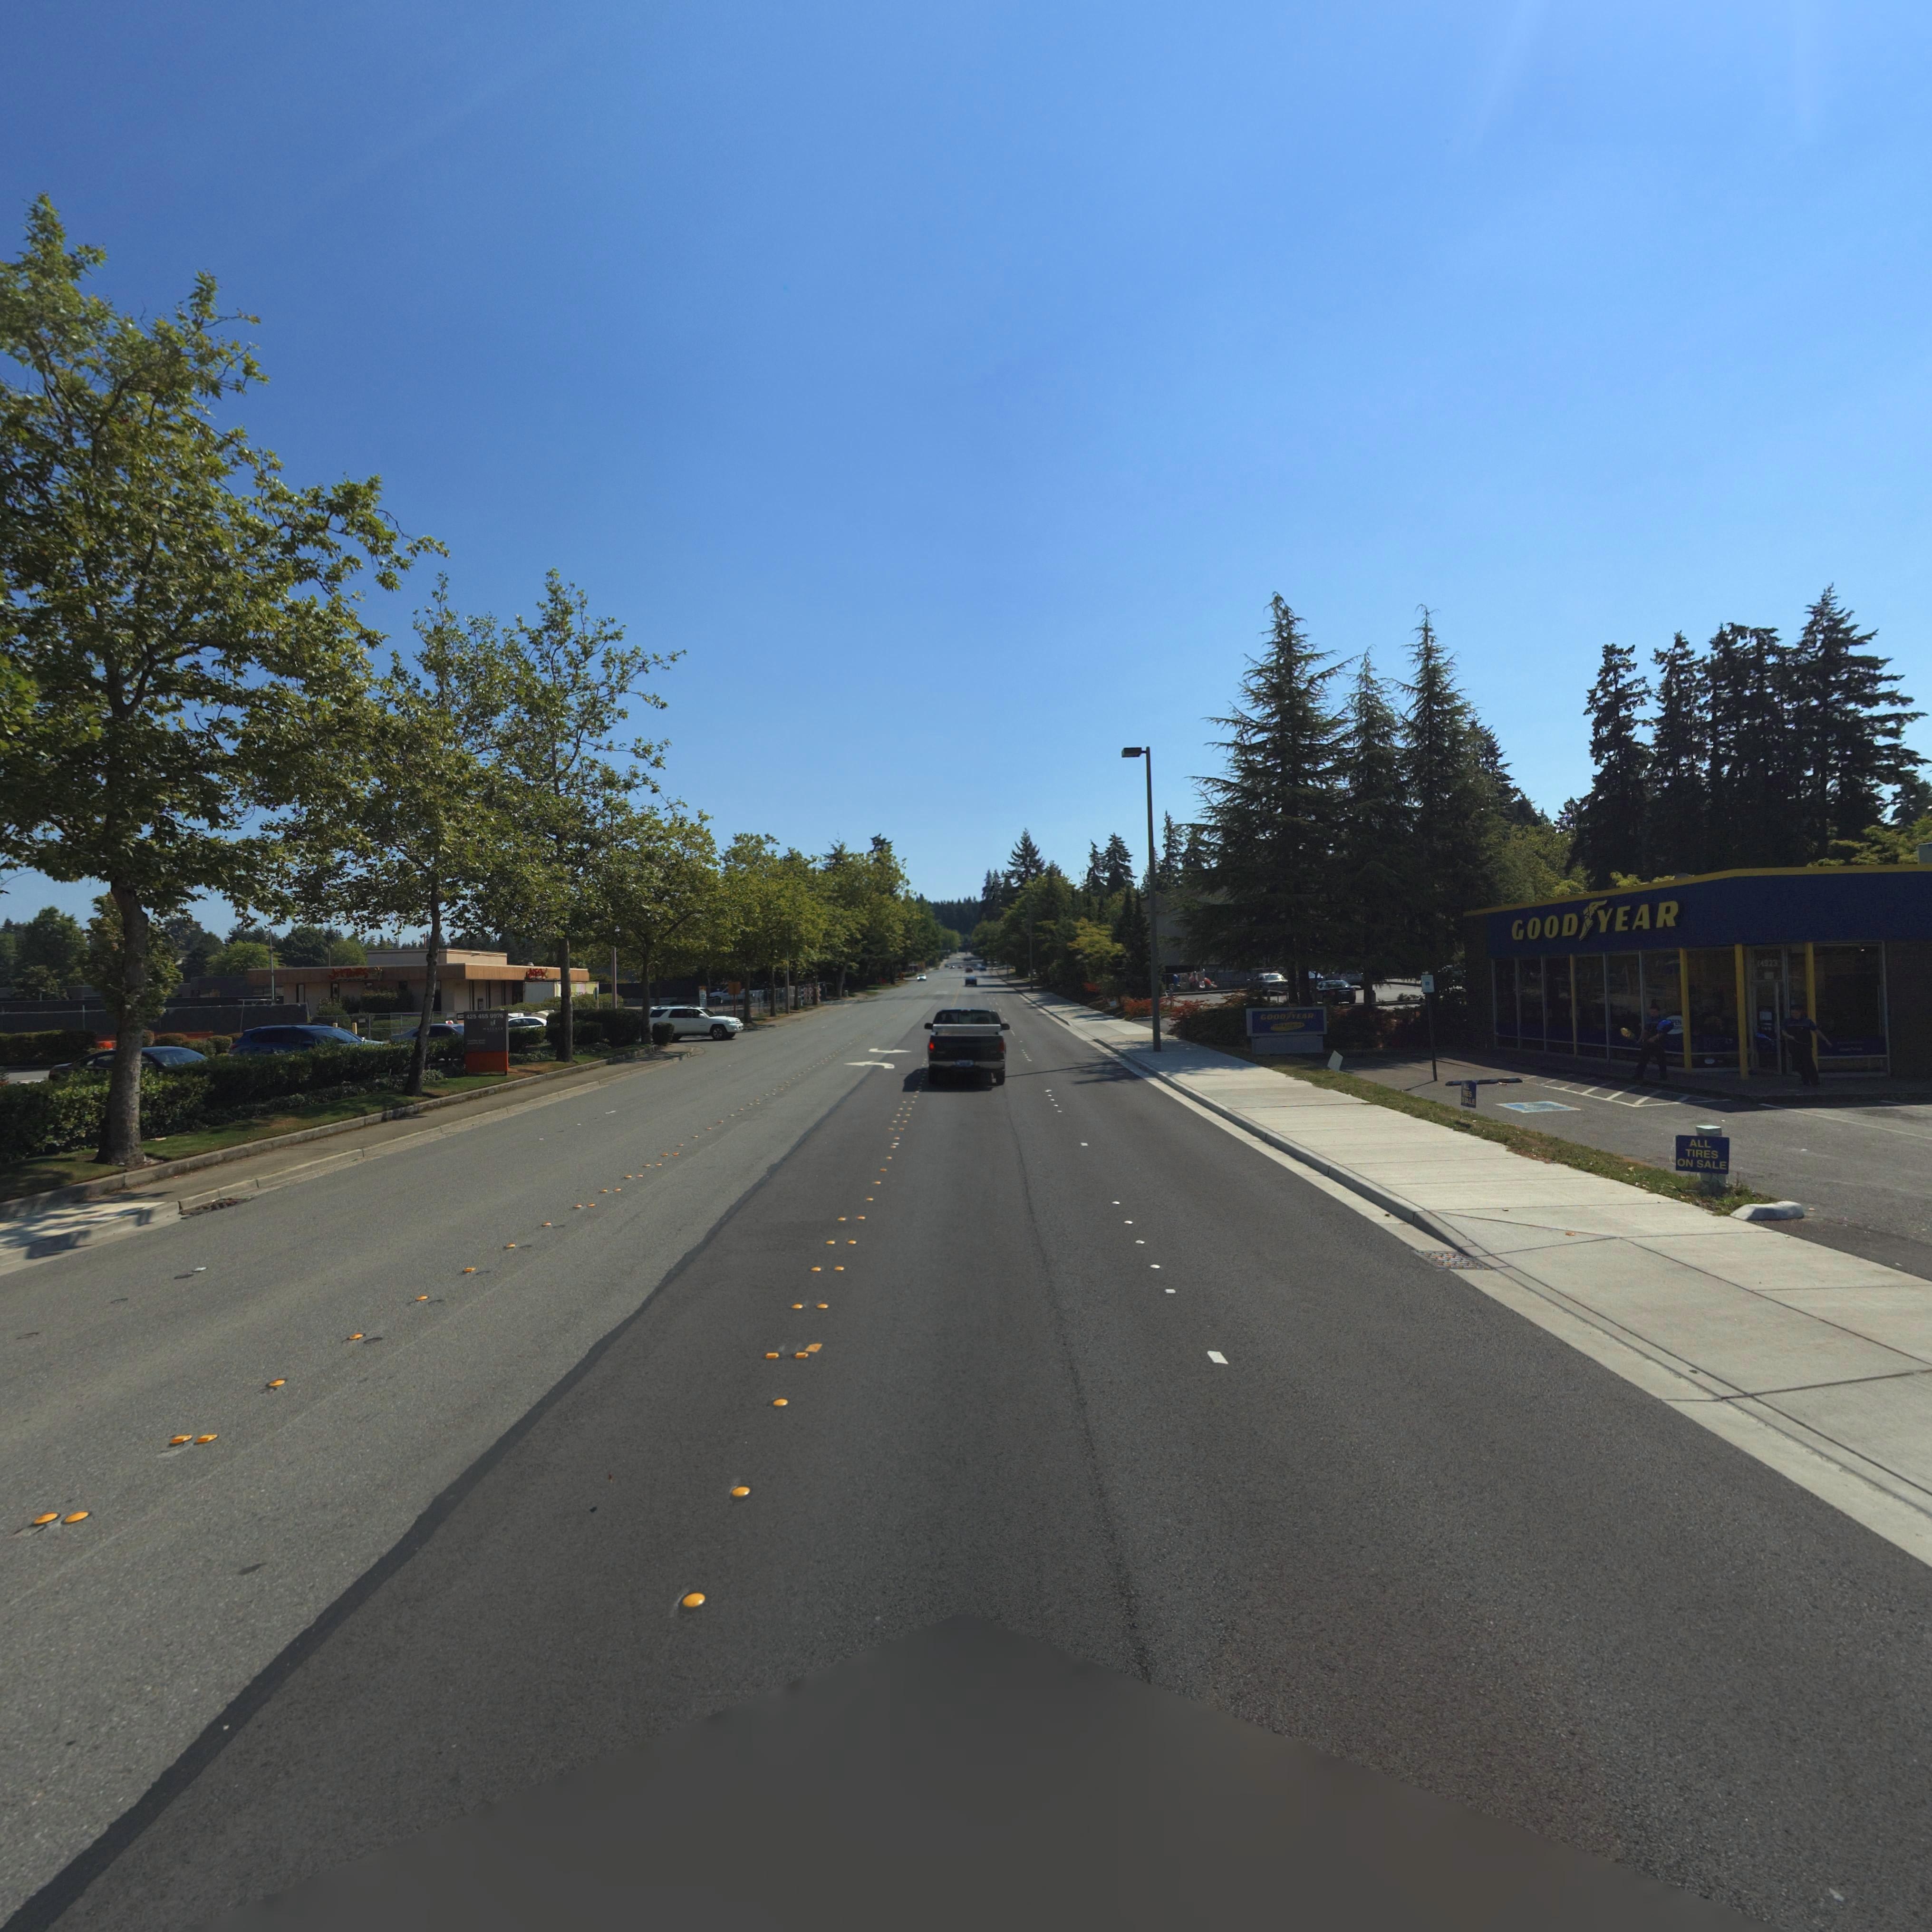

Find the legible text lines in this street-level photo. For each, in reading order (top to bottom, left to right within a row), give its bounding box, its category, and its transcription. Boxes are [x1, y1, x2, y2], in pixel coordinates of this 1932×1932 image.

[1510, 899, 1681, 941] BusinessName: GOOD*YEAR
[1756, 959, 1778, 967] StreetNumber: 14923
[1259, 1013, 1314, 1020] BusinessName: GOOD*YEAR